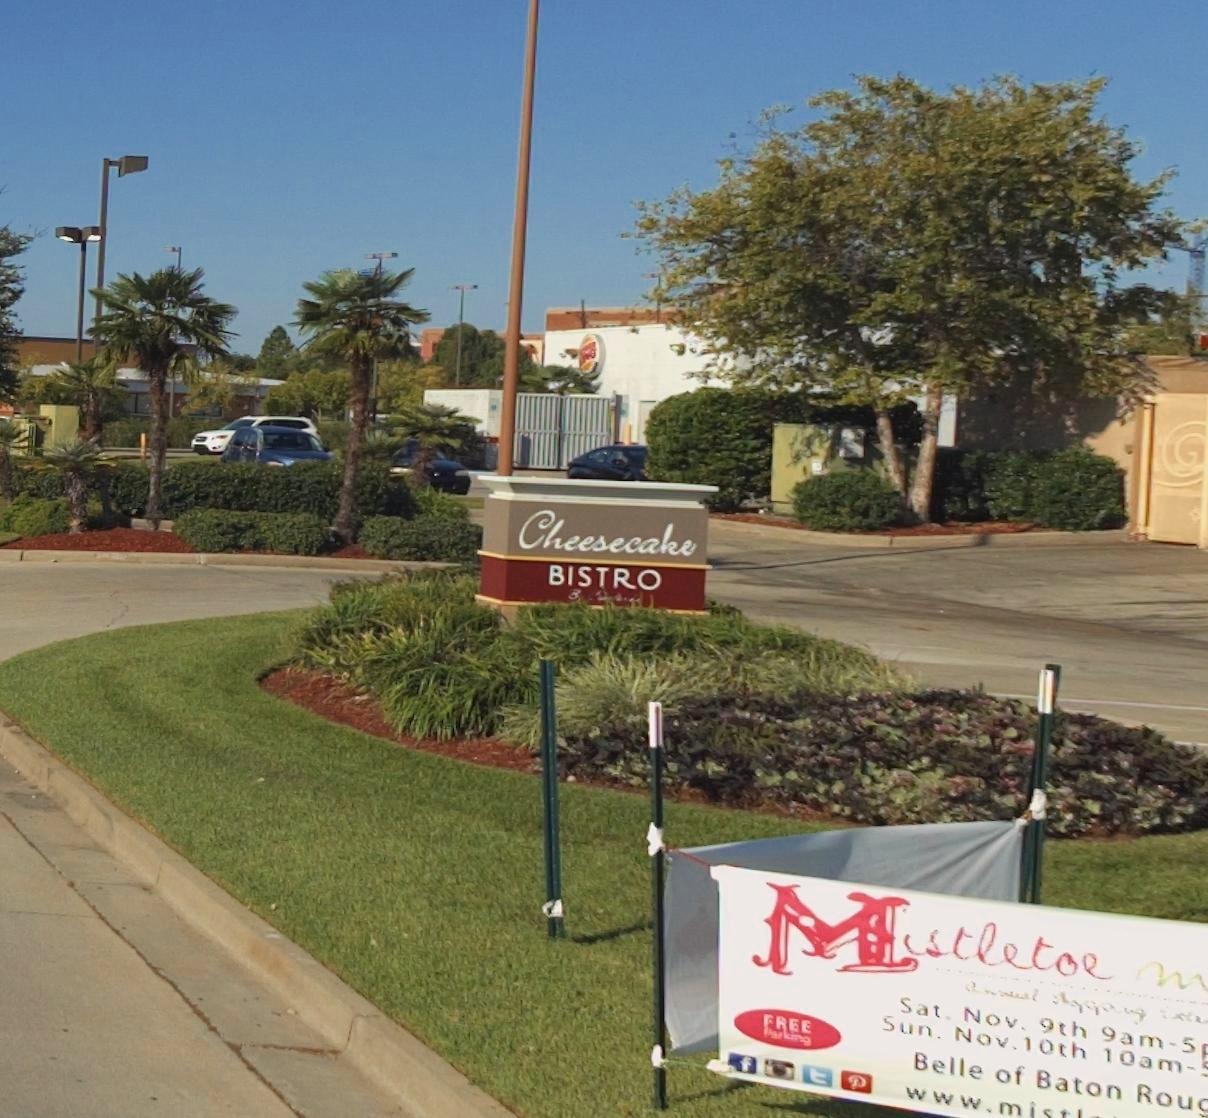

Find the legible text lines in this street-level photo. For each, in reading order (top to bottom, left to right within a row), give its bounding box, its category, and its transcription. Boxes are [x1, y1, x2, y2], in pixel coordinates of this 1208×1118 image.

[513, 505, 702, 560] BusinessName: Cheesecake
[545, 561, 667, 593] BusinessName: BISTRO
[746, 872, 1119, 984] BusinessName: Mistletoe
[761, 1010, 815, 1038] None: FREE
[879, 1010, 1186, 1078] None: Sun. Nov. 10th 10am
[895, 991, 1197, 1058] None: Sat. Nov. 9th 9am-5
[901, 1081, 1026, 1117] None: www.m
[910, 1046, 1197, 1115] None: Belle of Baton Rou